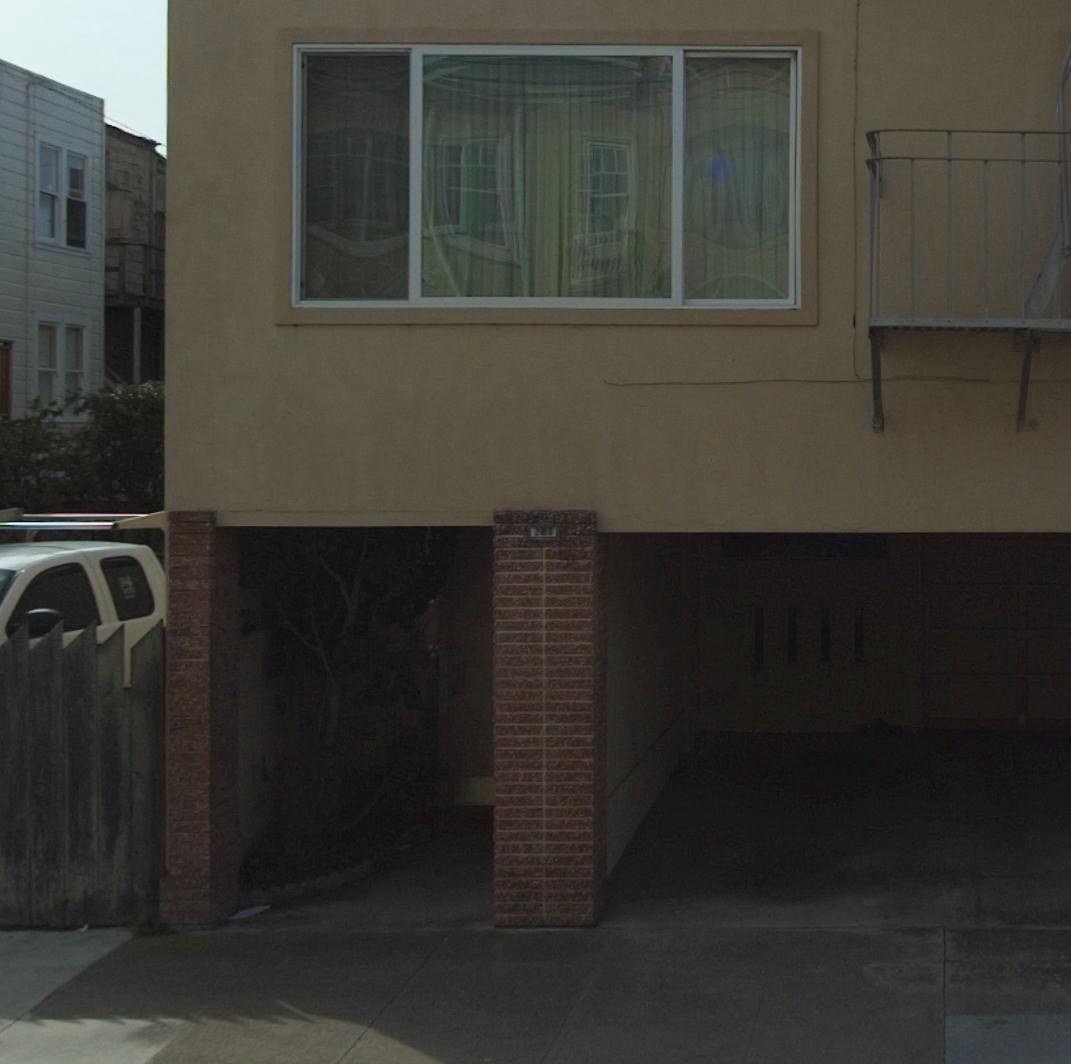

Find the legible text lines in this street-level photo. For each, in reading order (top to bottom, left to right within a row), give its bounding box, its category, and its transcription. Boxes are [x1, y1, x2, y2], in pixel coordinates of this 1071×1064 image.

[532, 525, 555, 538] StreetNumber: 285